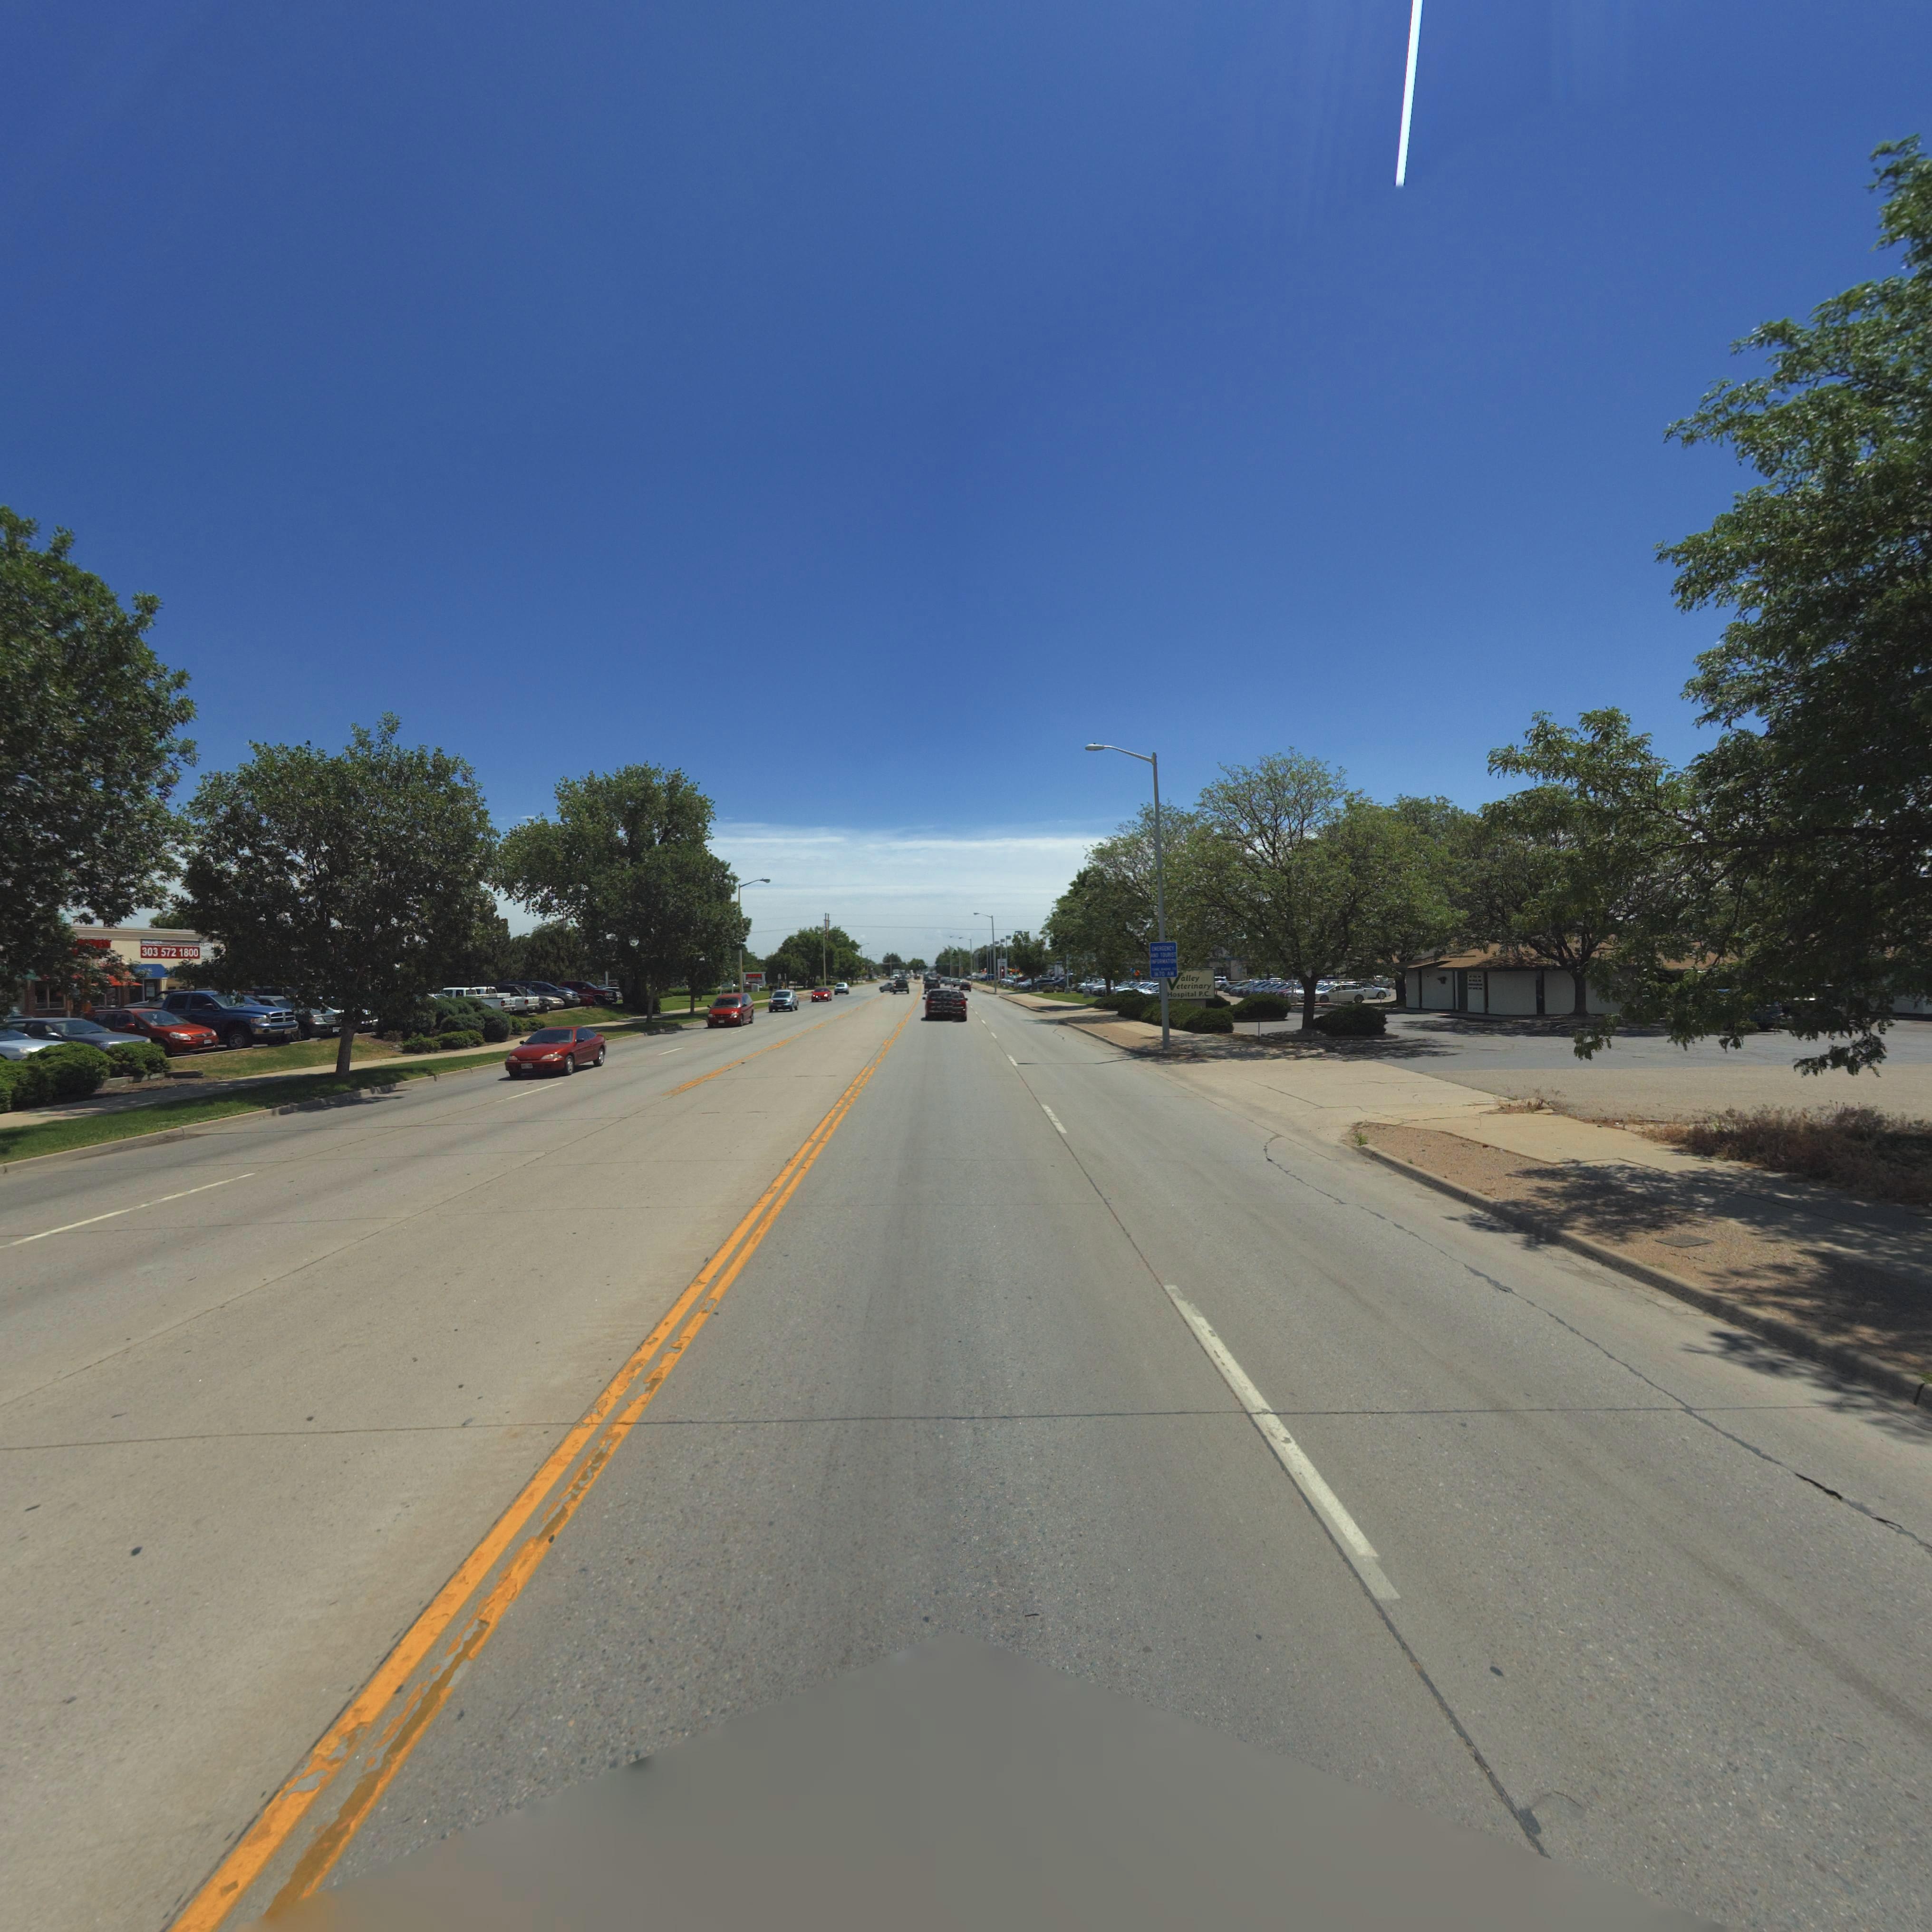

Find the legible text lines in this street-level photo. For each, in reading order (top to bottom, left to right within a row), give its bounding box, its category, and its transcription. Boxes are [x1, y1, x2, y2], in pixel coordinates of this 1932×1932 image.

[76, 937, 111, 949] BusinessName: ***VEST
[1166, 972, 1184, 991] BusinessName: V
[1180, 974, 1200, 983] BusinessName: alley
[1176, 982, 1212, 990] BusinessName: eterinary
[1167, 990, 1212, 998] BusinessName: Hospital P.C.